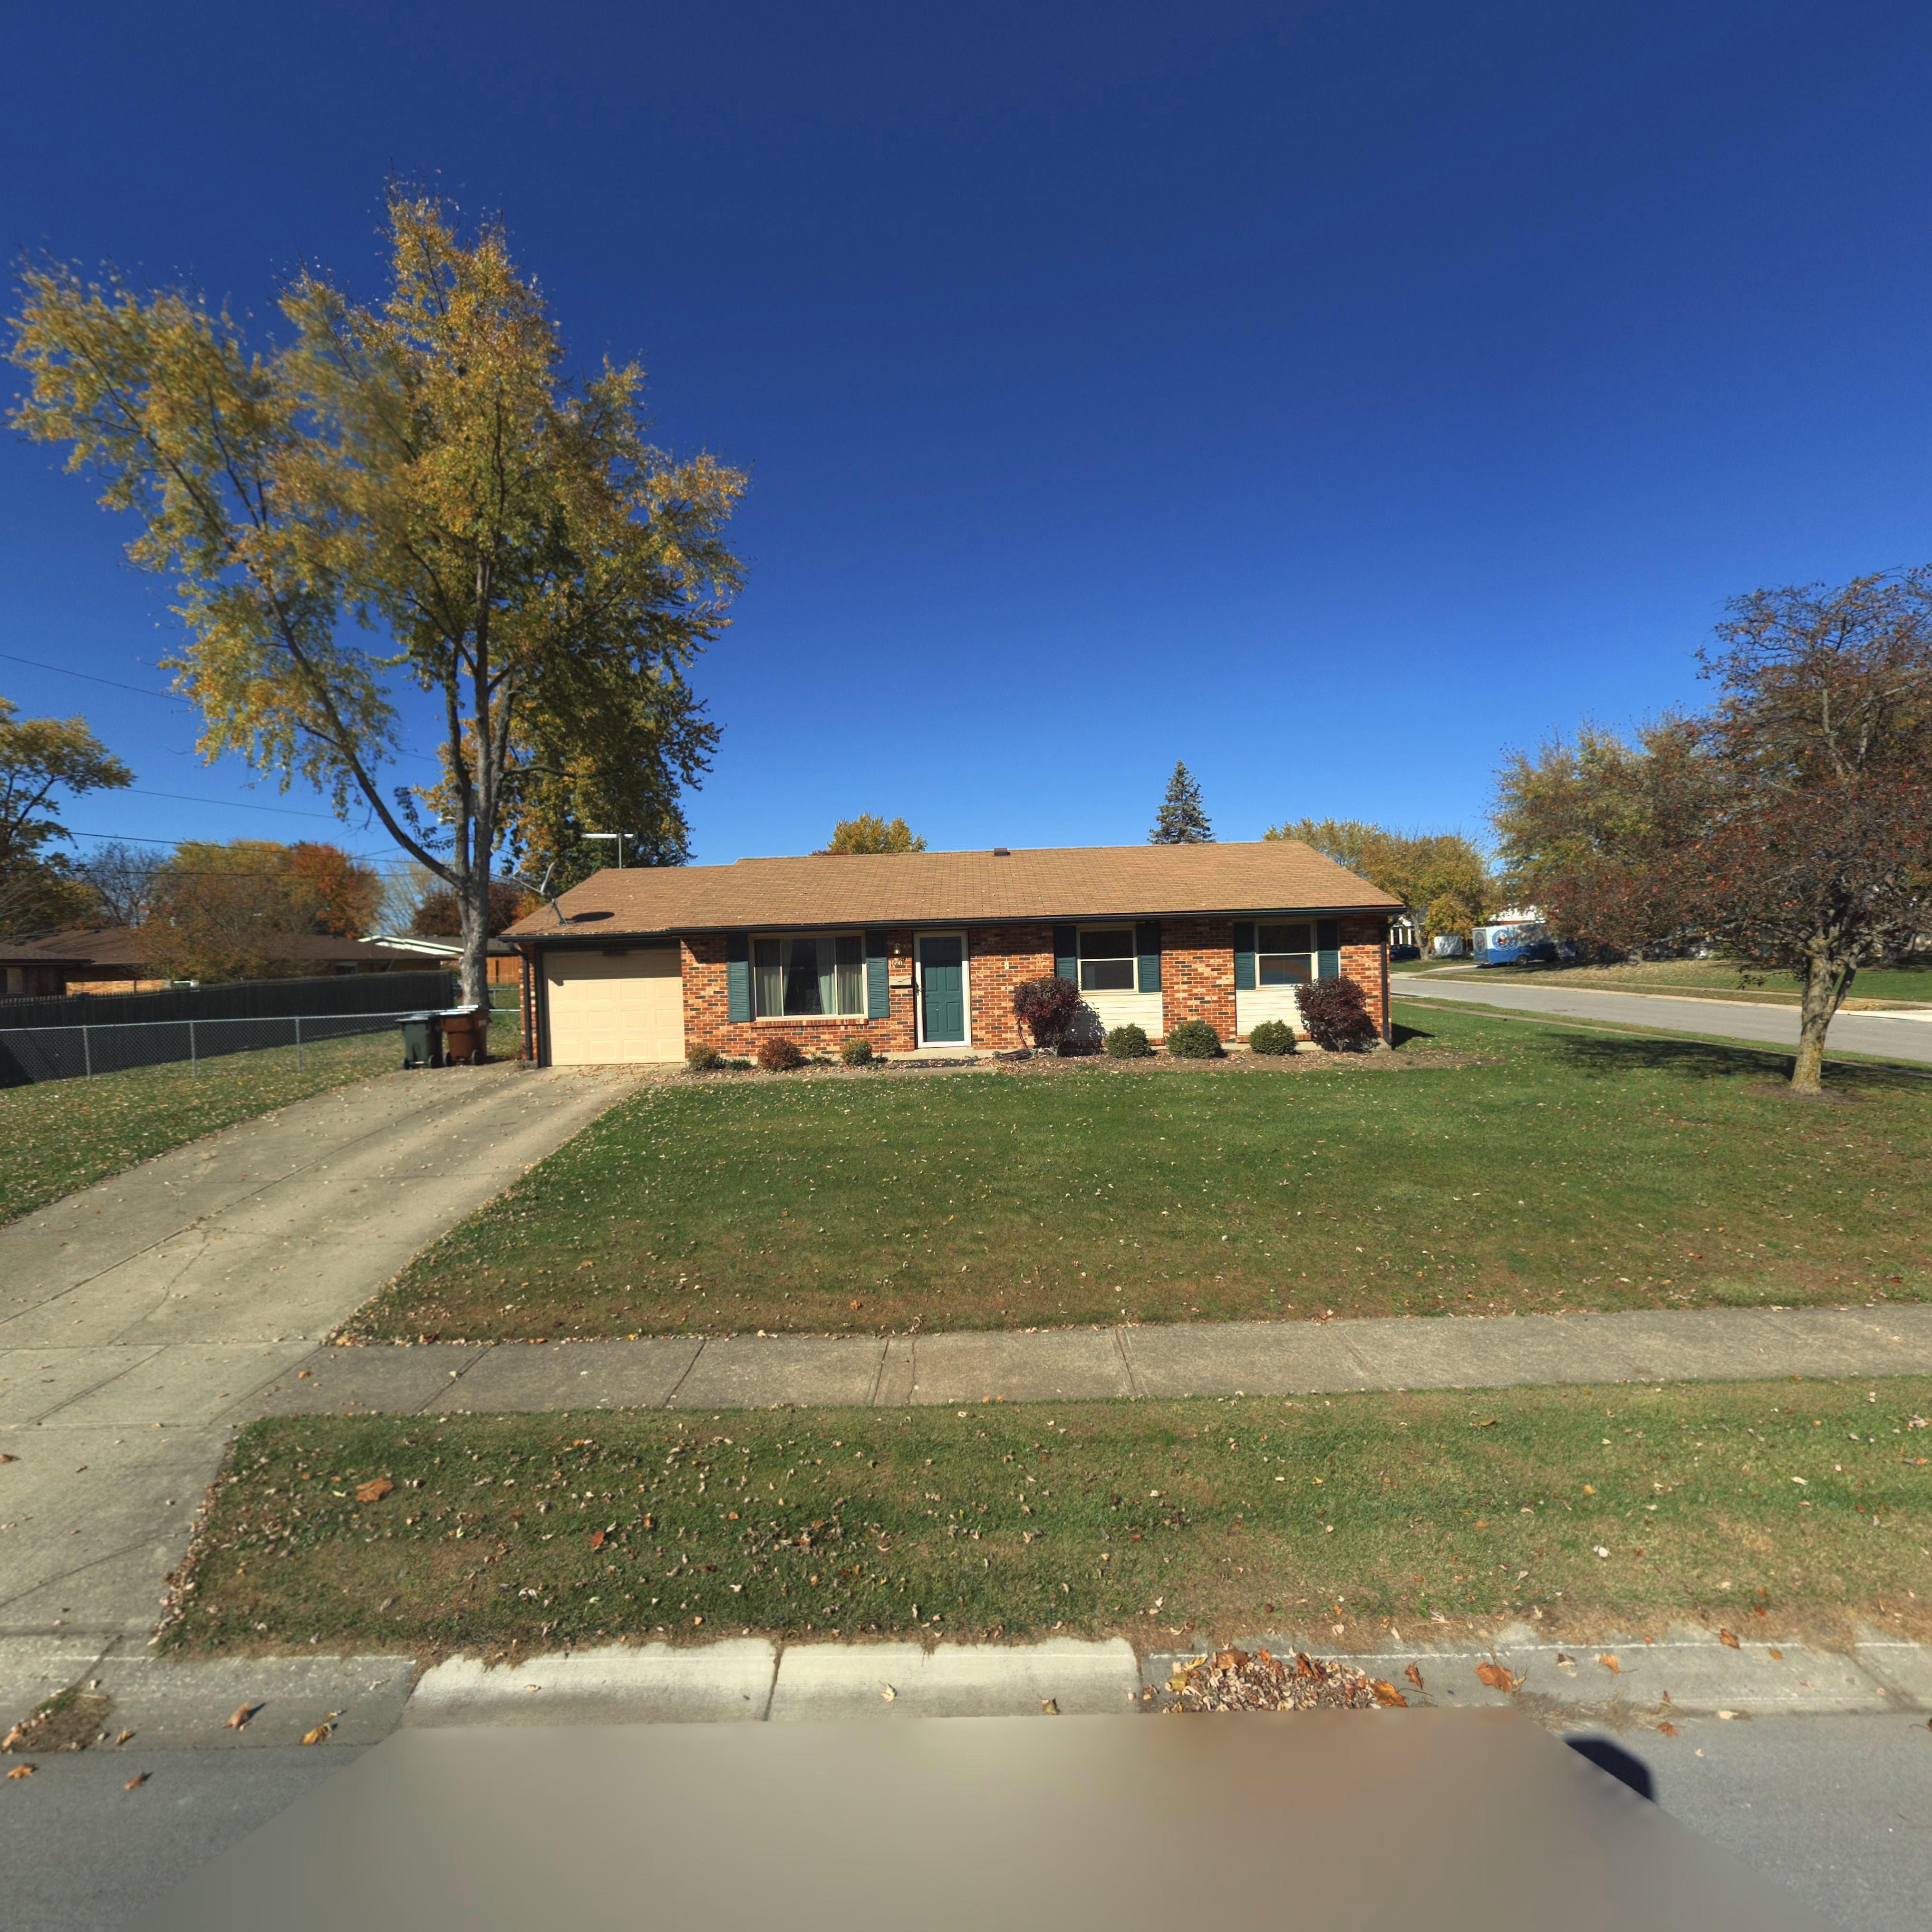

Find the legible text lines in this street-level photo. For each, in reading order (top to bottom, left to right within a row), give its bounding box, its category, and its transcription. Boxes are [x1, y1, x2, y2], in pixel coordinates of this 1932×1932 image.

[890, 959, 902, 967] StreetNumber: 100